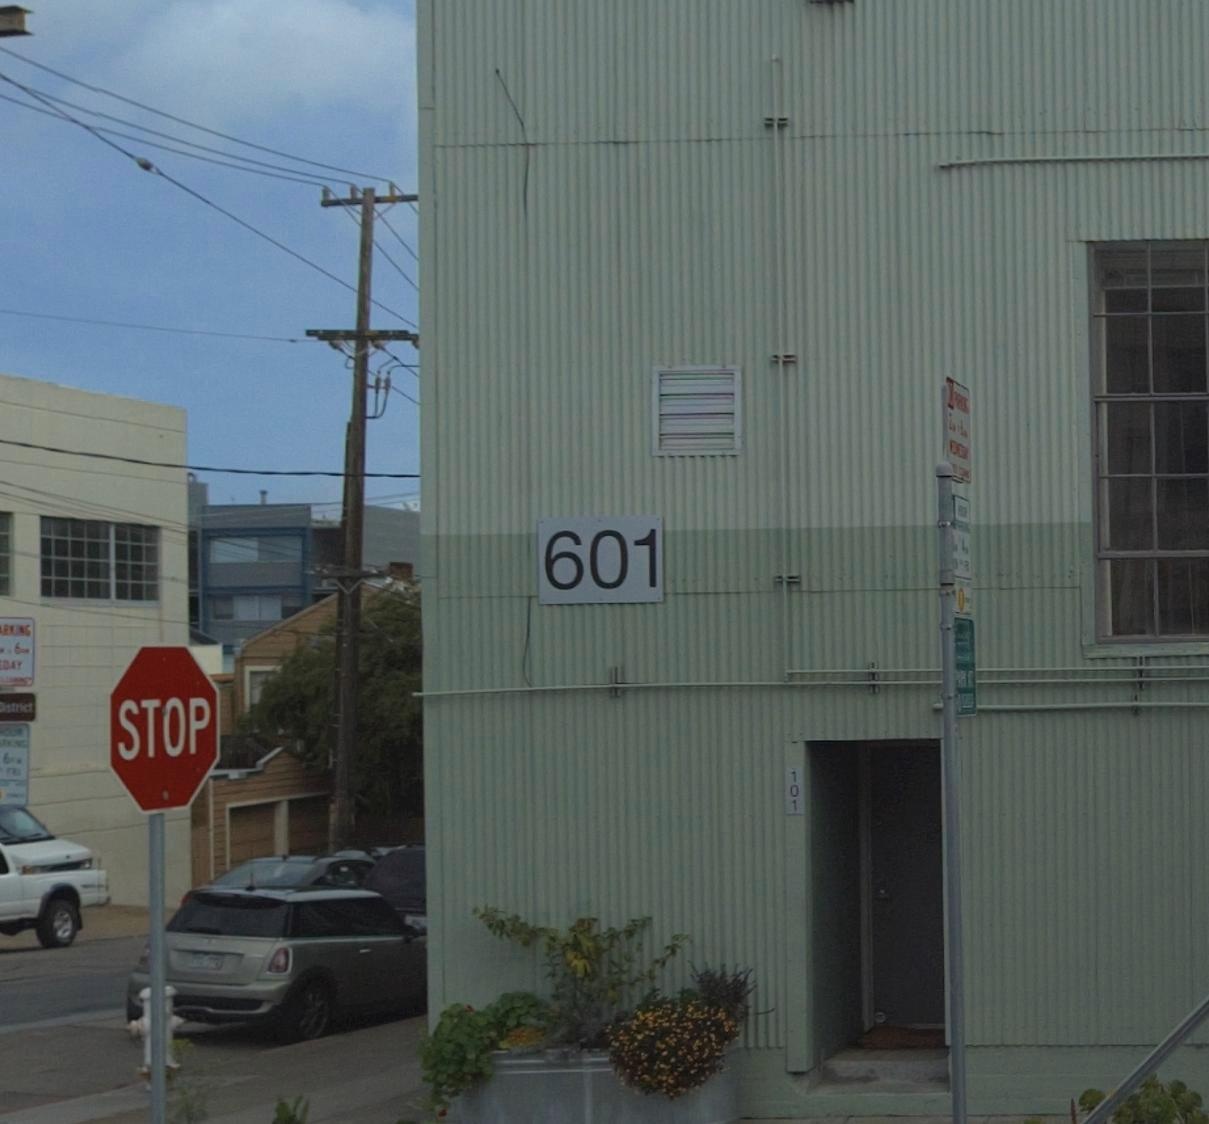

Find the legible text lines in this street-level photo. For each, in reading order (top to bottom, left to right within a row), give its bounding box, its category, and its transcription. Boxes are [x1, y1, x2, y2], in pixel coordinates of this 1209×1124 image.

[542, 527, 659, 591] StreetNumber: 601
[1, 622, 33, 637] None: RKING
[13, 640, 22, 656] None: 6
[0, 657, 21, 670] None: DAY
[0, 698, 34, 714] None: District
[0, 724, 24, 738] None: OUR
[113, 693, 212, 762] None: STOP
[2, 751, 12, 764] None: 6
[788, 767, 800, 813] StreetNumber: 101